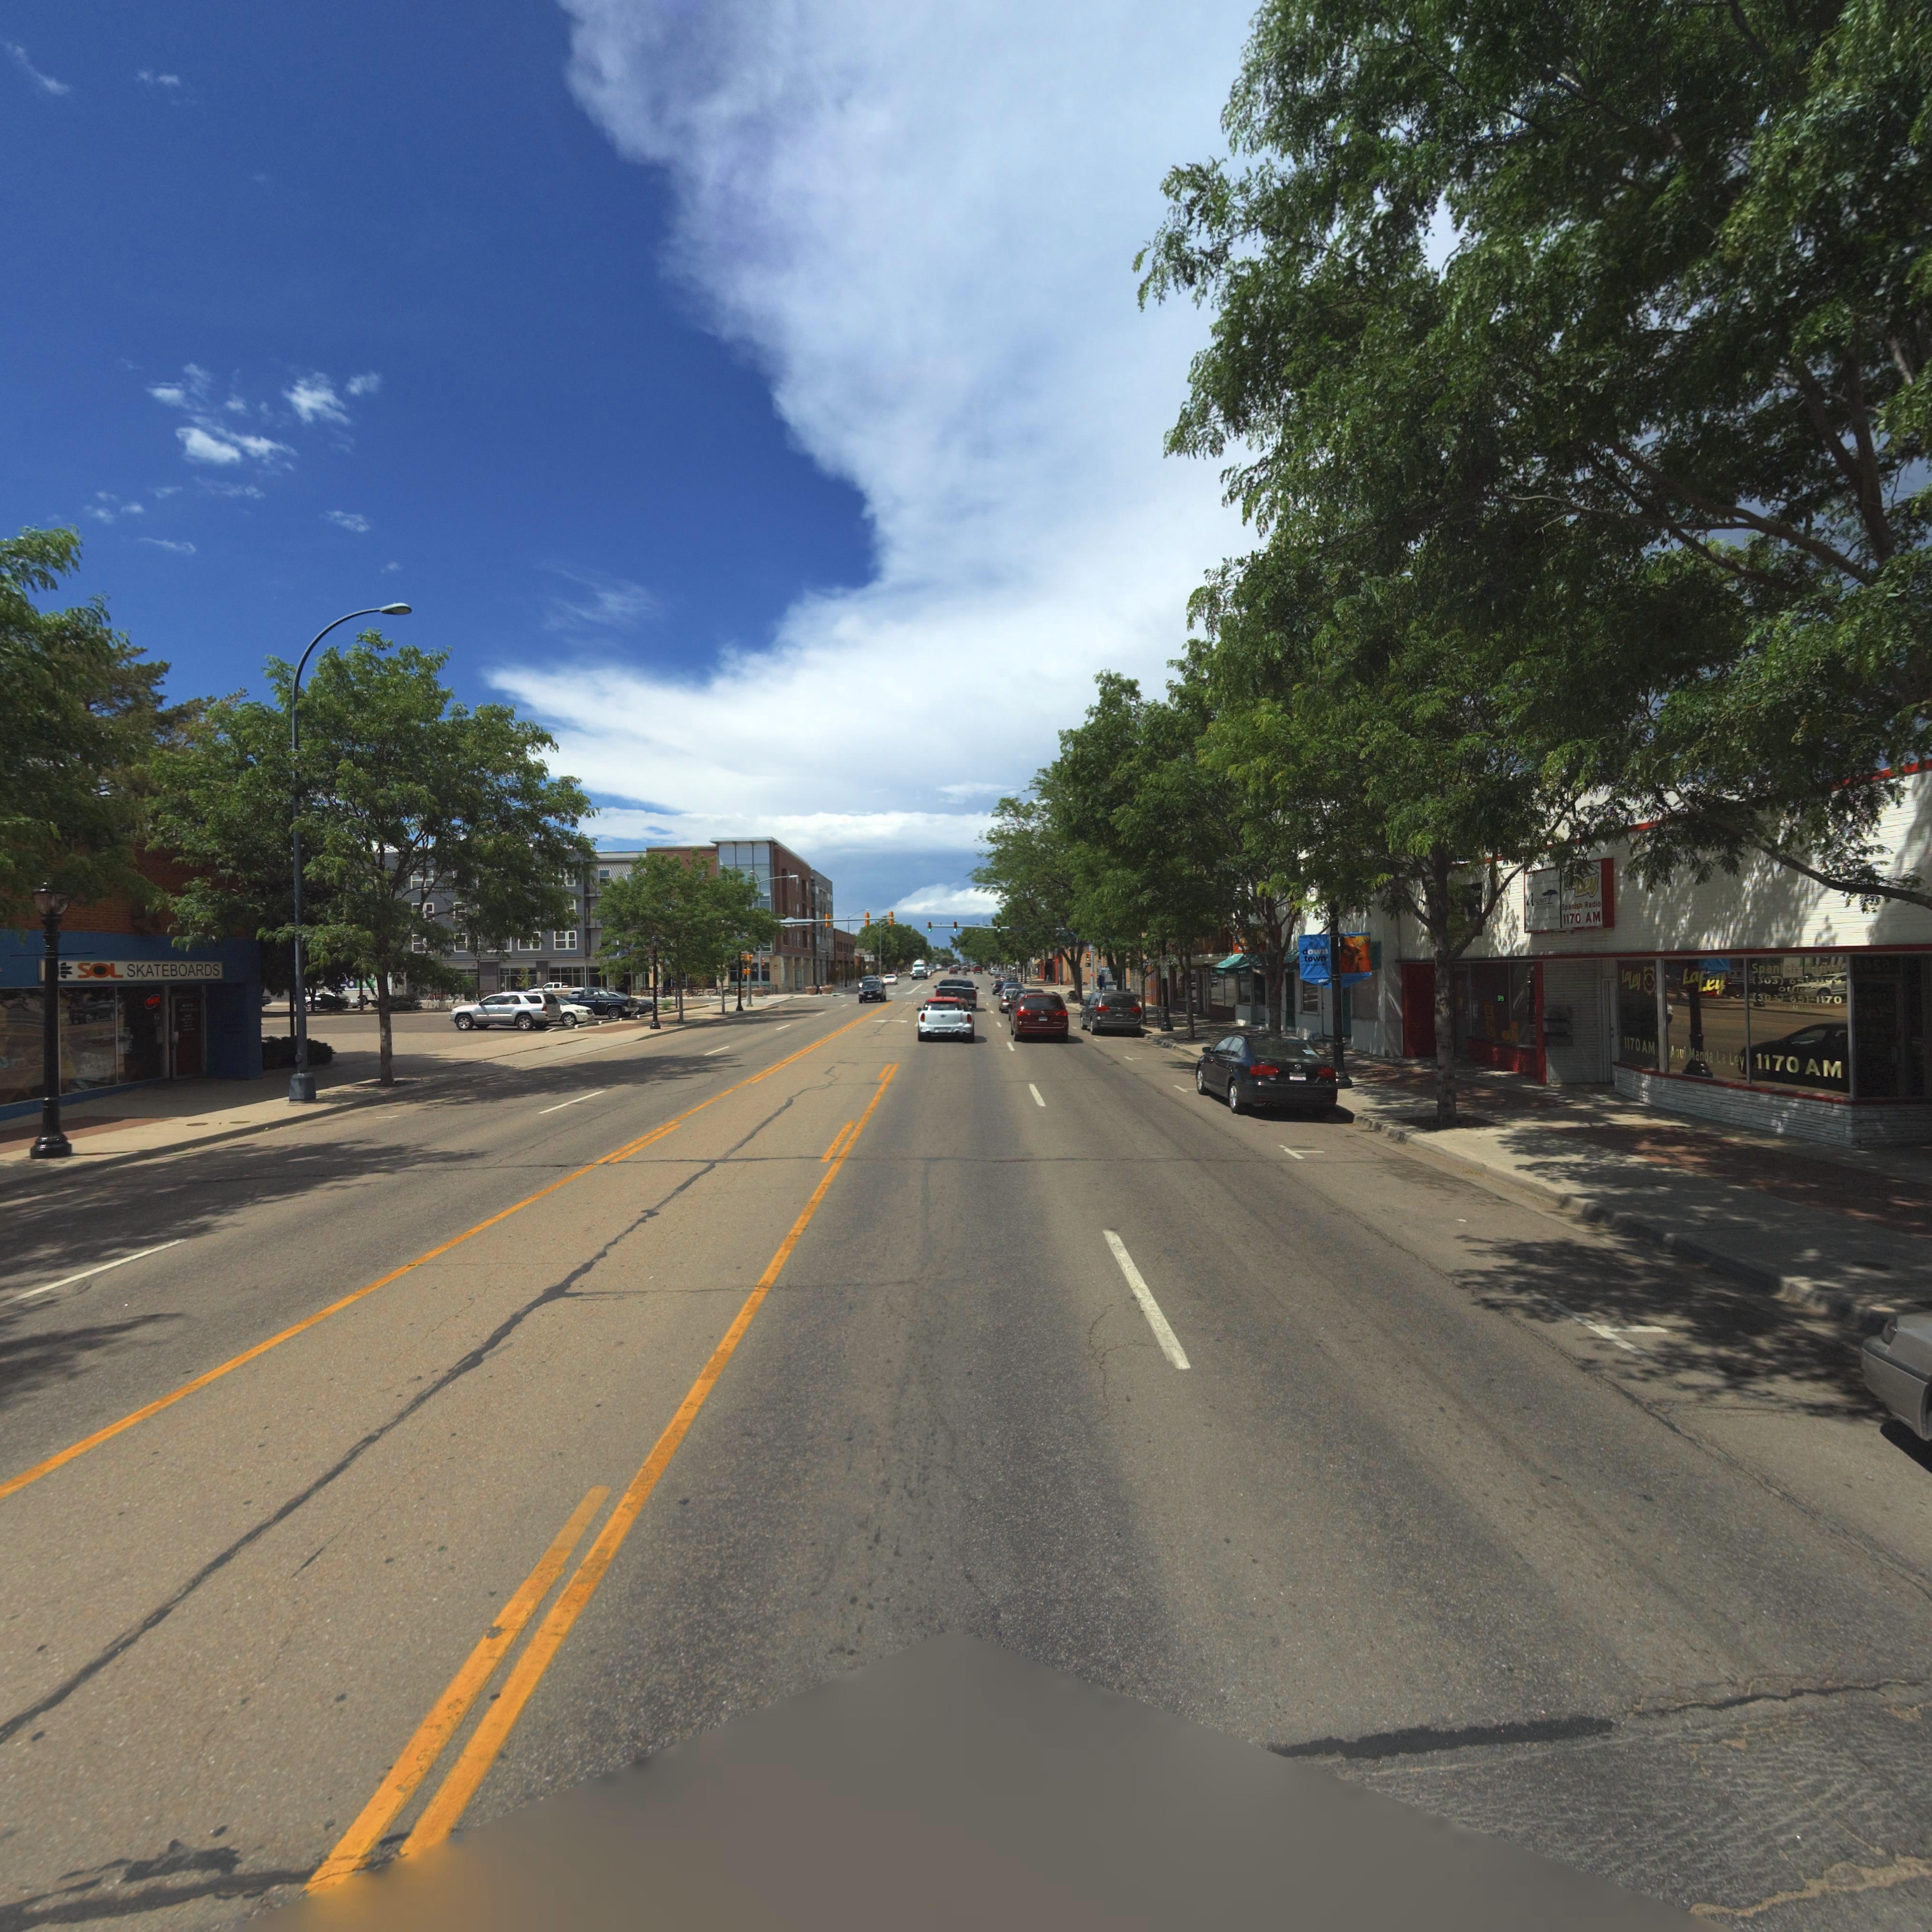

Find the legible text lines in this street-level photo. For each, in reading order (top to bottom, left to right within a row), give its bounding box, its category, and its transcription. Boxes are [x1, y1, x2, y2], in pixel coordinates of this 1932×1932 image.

[1564, 872, 1598, 898] BusinessName: **Ley
[1526, 891, 1549, 907] BusinessName: As***e
[77, 961, 221, 979] BusinessName: SOL SKATEBOARDS
[1621, 969, 1641, 991] BusinessName: LaLey
[1683, 967, 1725, 995] BusinessName: LaLey